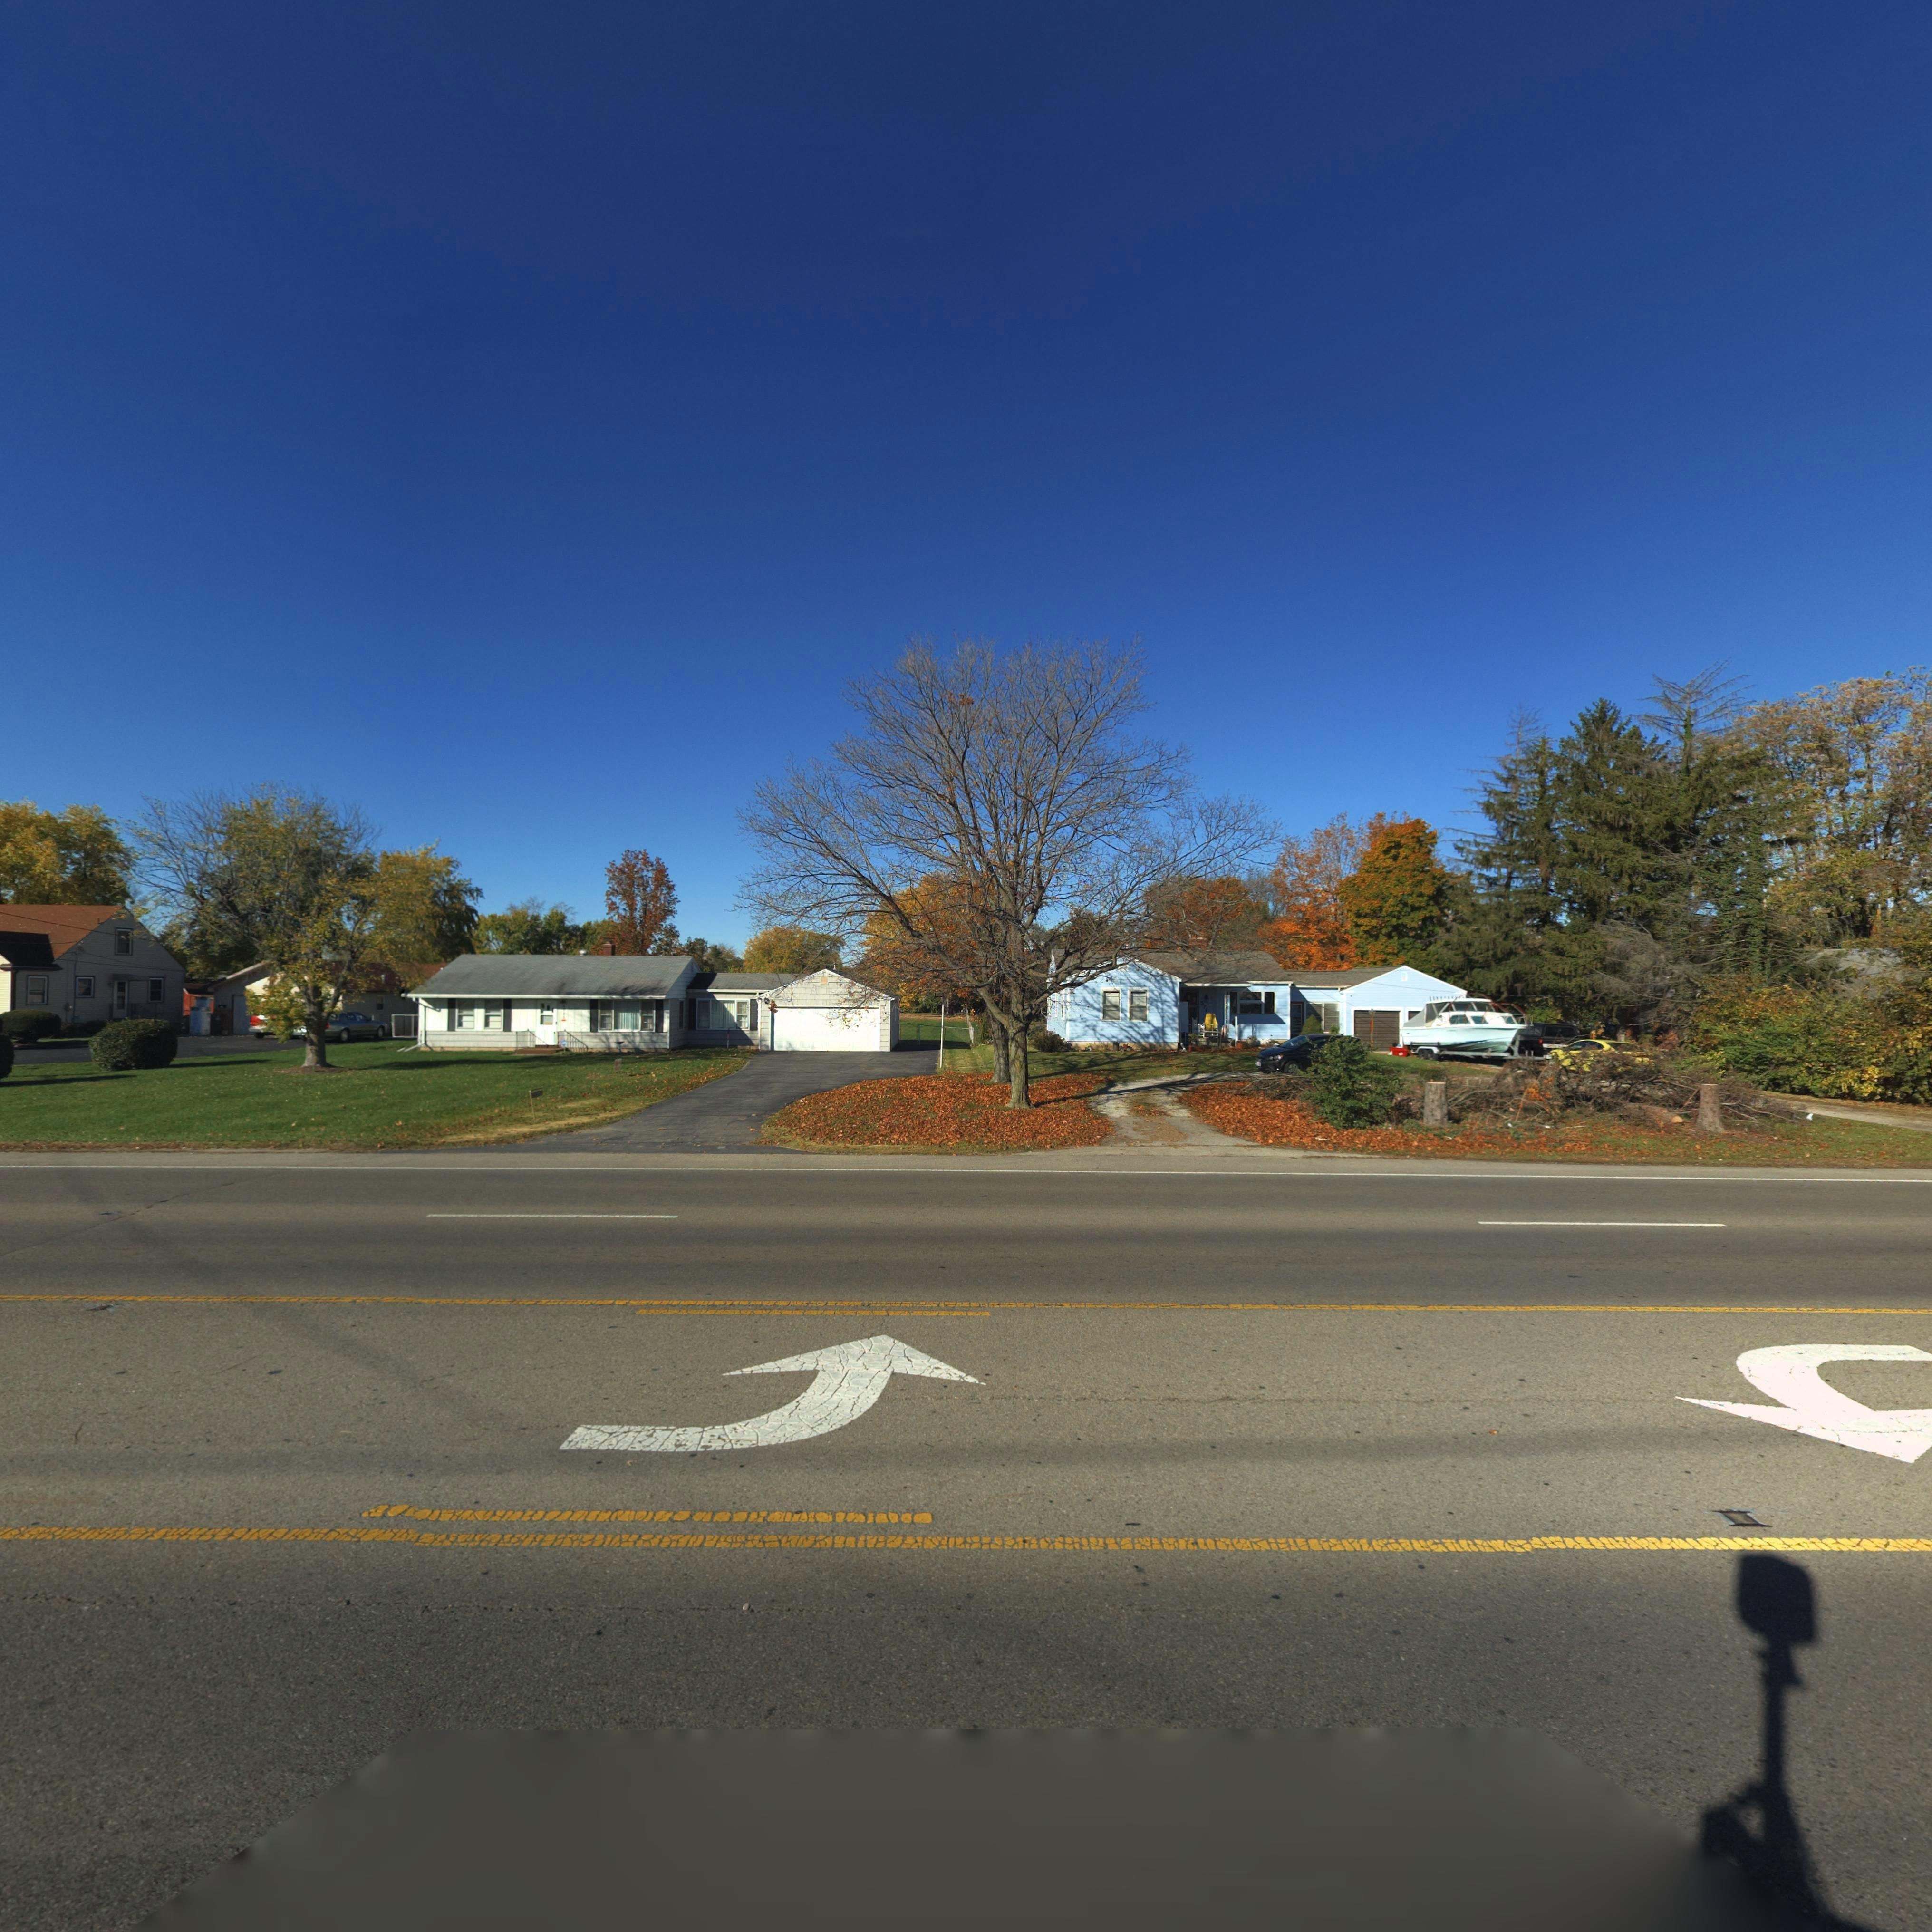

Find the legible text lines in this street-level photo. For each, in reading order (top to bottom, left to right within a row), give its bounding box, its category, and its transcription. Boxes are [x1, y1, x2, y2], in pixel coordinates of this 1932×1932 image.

[1200, 1000, 1208, 1013] StreetNumber: 571